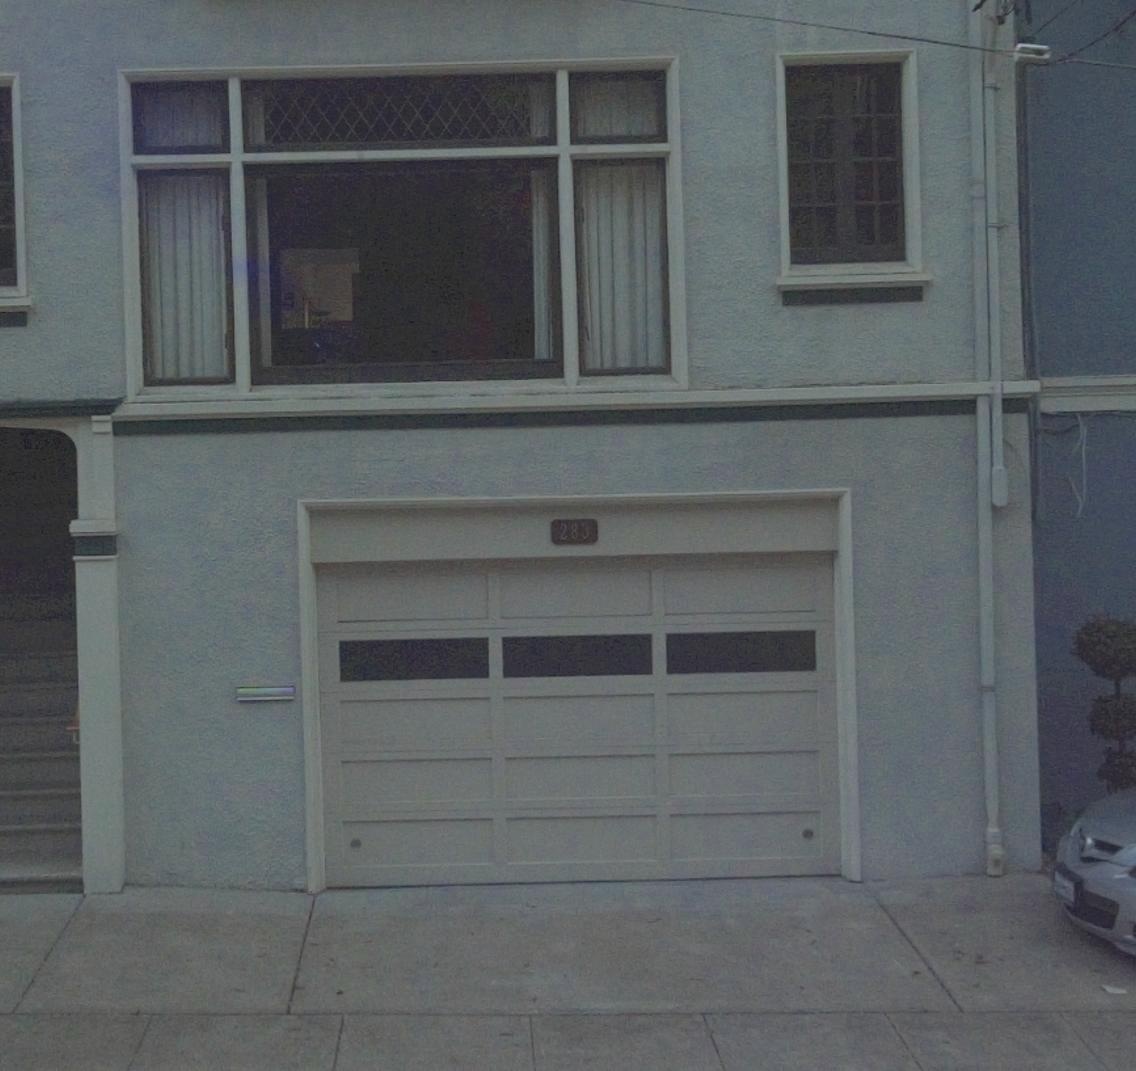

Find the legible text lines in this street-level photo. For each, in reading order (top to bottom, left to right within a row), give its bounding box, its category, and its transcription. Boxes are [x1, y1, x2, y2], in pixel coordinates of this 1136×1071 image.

[559, 521, 590, 541] StreetNumber: 283